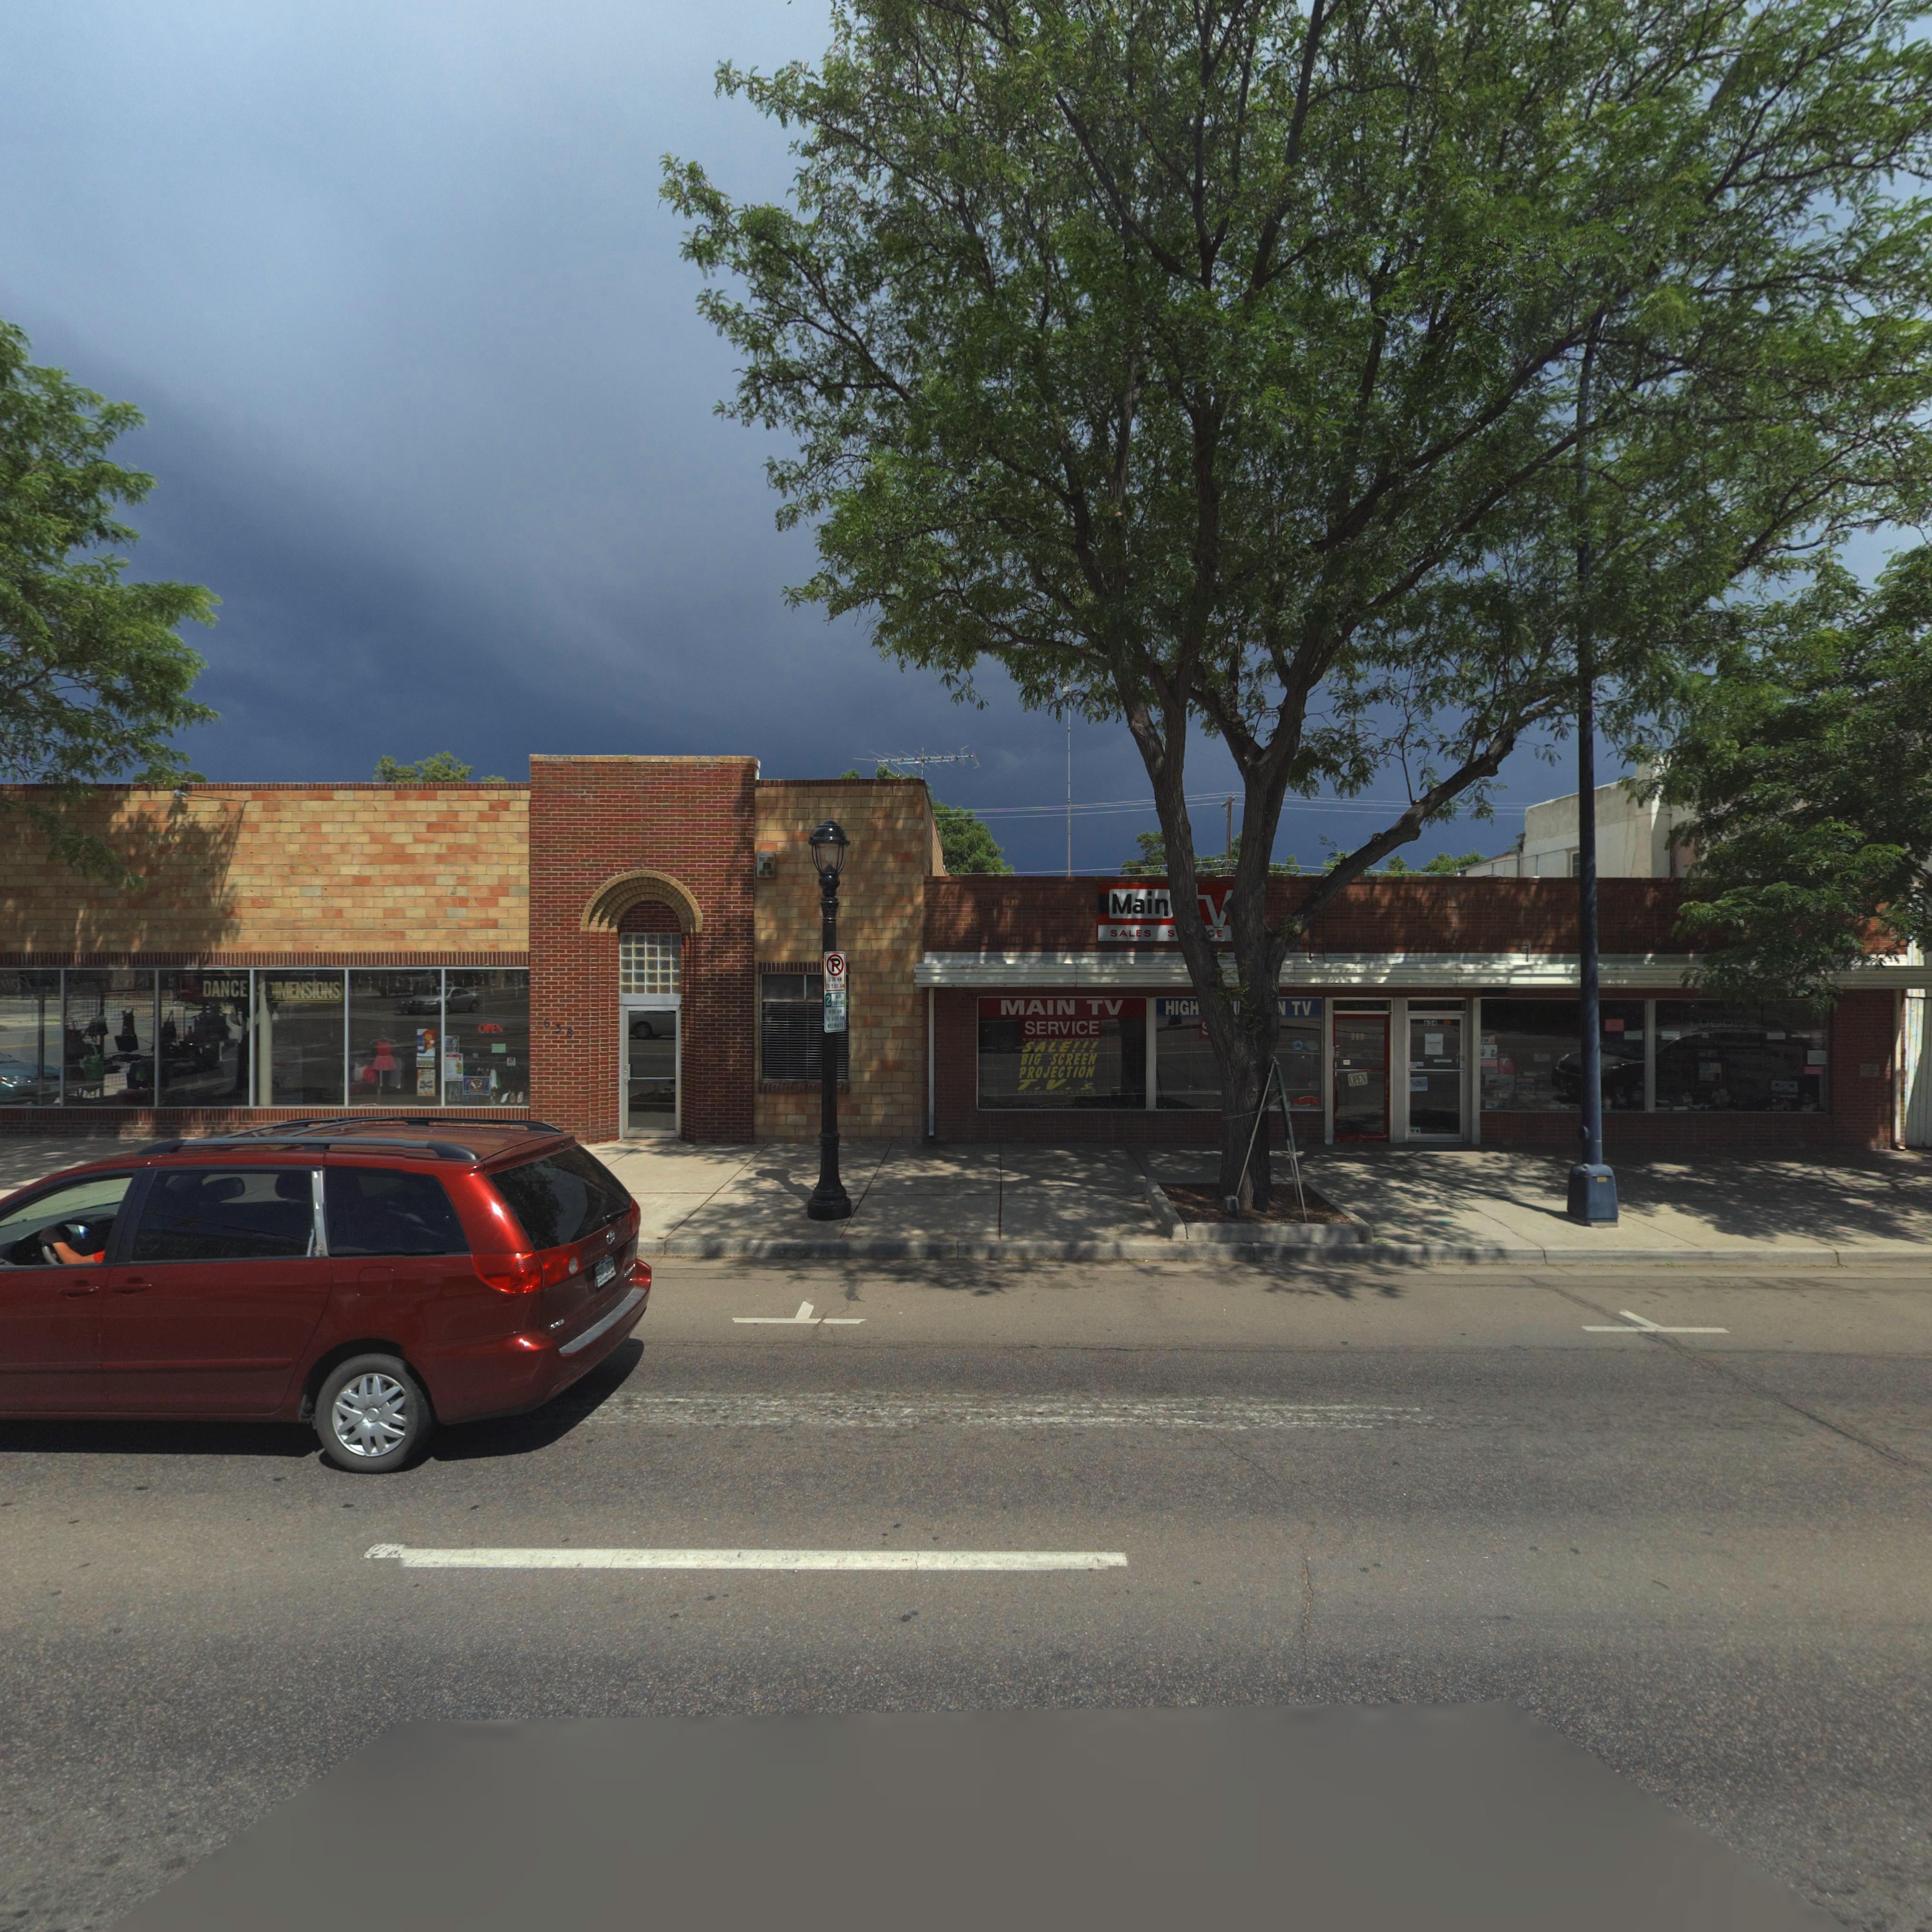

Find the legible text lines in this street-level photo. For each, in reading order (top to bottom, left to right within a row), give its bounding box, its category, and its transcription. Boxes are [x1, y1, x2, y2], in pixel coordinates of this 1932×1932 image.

[1111, 889, 1169, 917] BusinessName: Main
[1194, 882, 1234, 927] BusinessName: *v
[202, 979, 340, 998] BusinessName: DANCE *IMENSIONS
[1001, 999, 1123, 1015] BusinessName: MAIN TV
[543, 1018, 572, 1038] StreetNumber: 638
[1351, 1034, 1363, 1040] StreetNumber: *3*
[1424, 1020, 1436, 1025] StreetNumber: 634